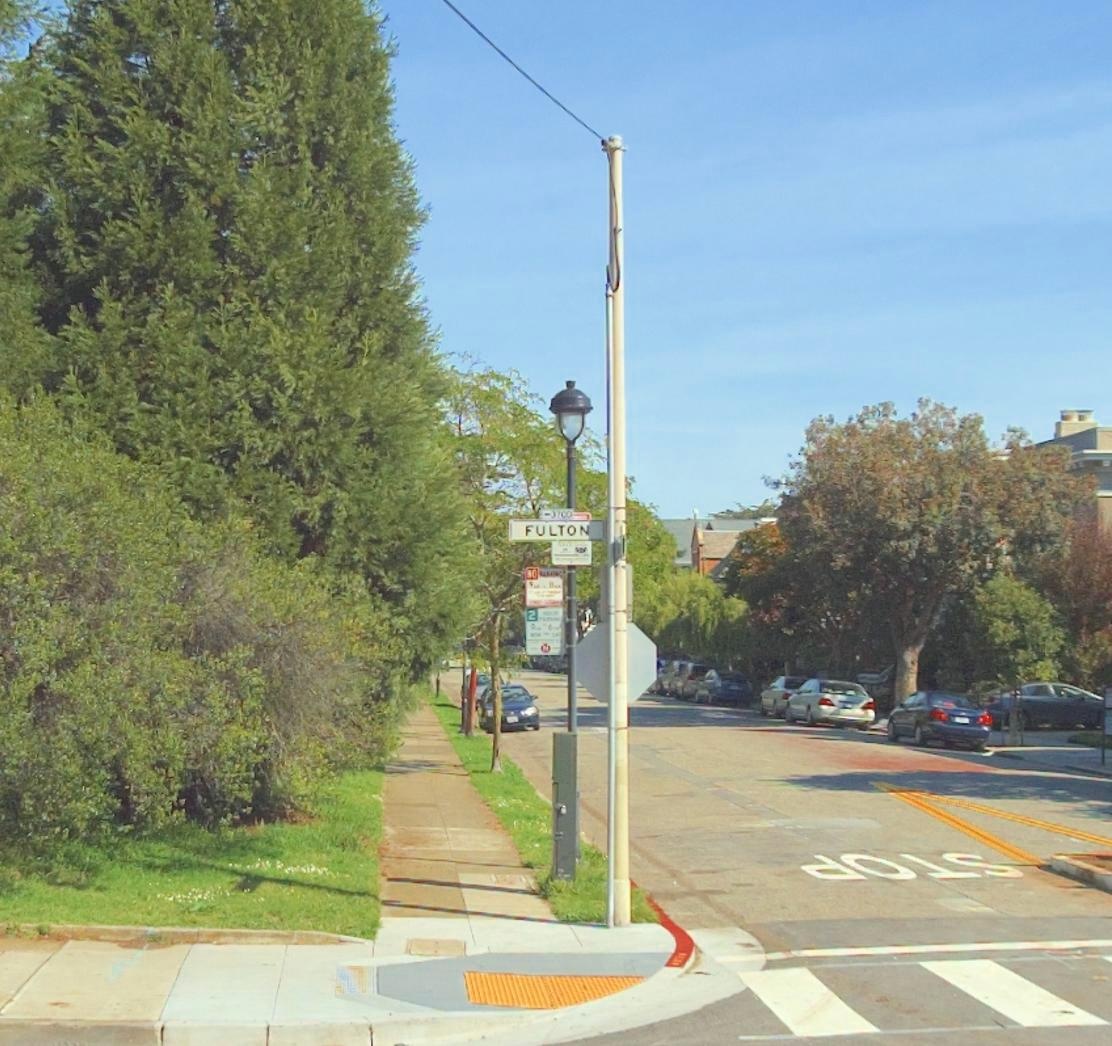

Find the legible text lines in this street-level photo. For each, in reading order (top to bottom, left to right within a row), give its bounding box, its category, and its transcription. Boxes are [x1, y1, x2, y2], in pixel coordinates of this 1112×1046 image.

[542, 509, 572, 518] StreetNumberRange: <-3700
[525, 524, 591, 538] StreetName: FULTON
[526, 567, 536, 577] None: NO
[527, 609, 536, 620] None: 2